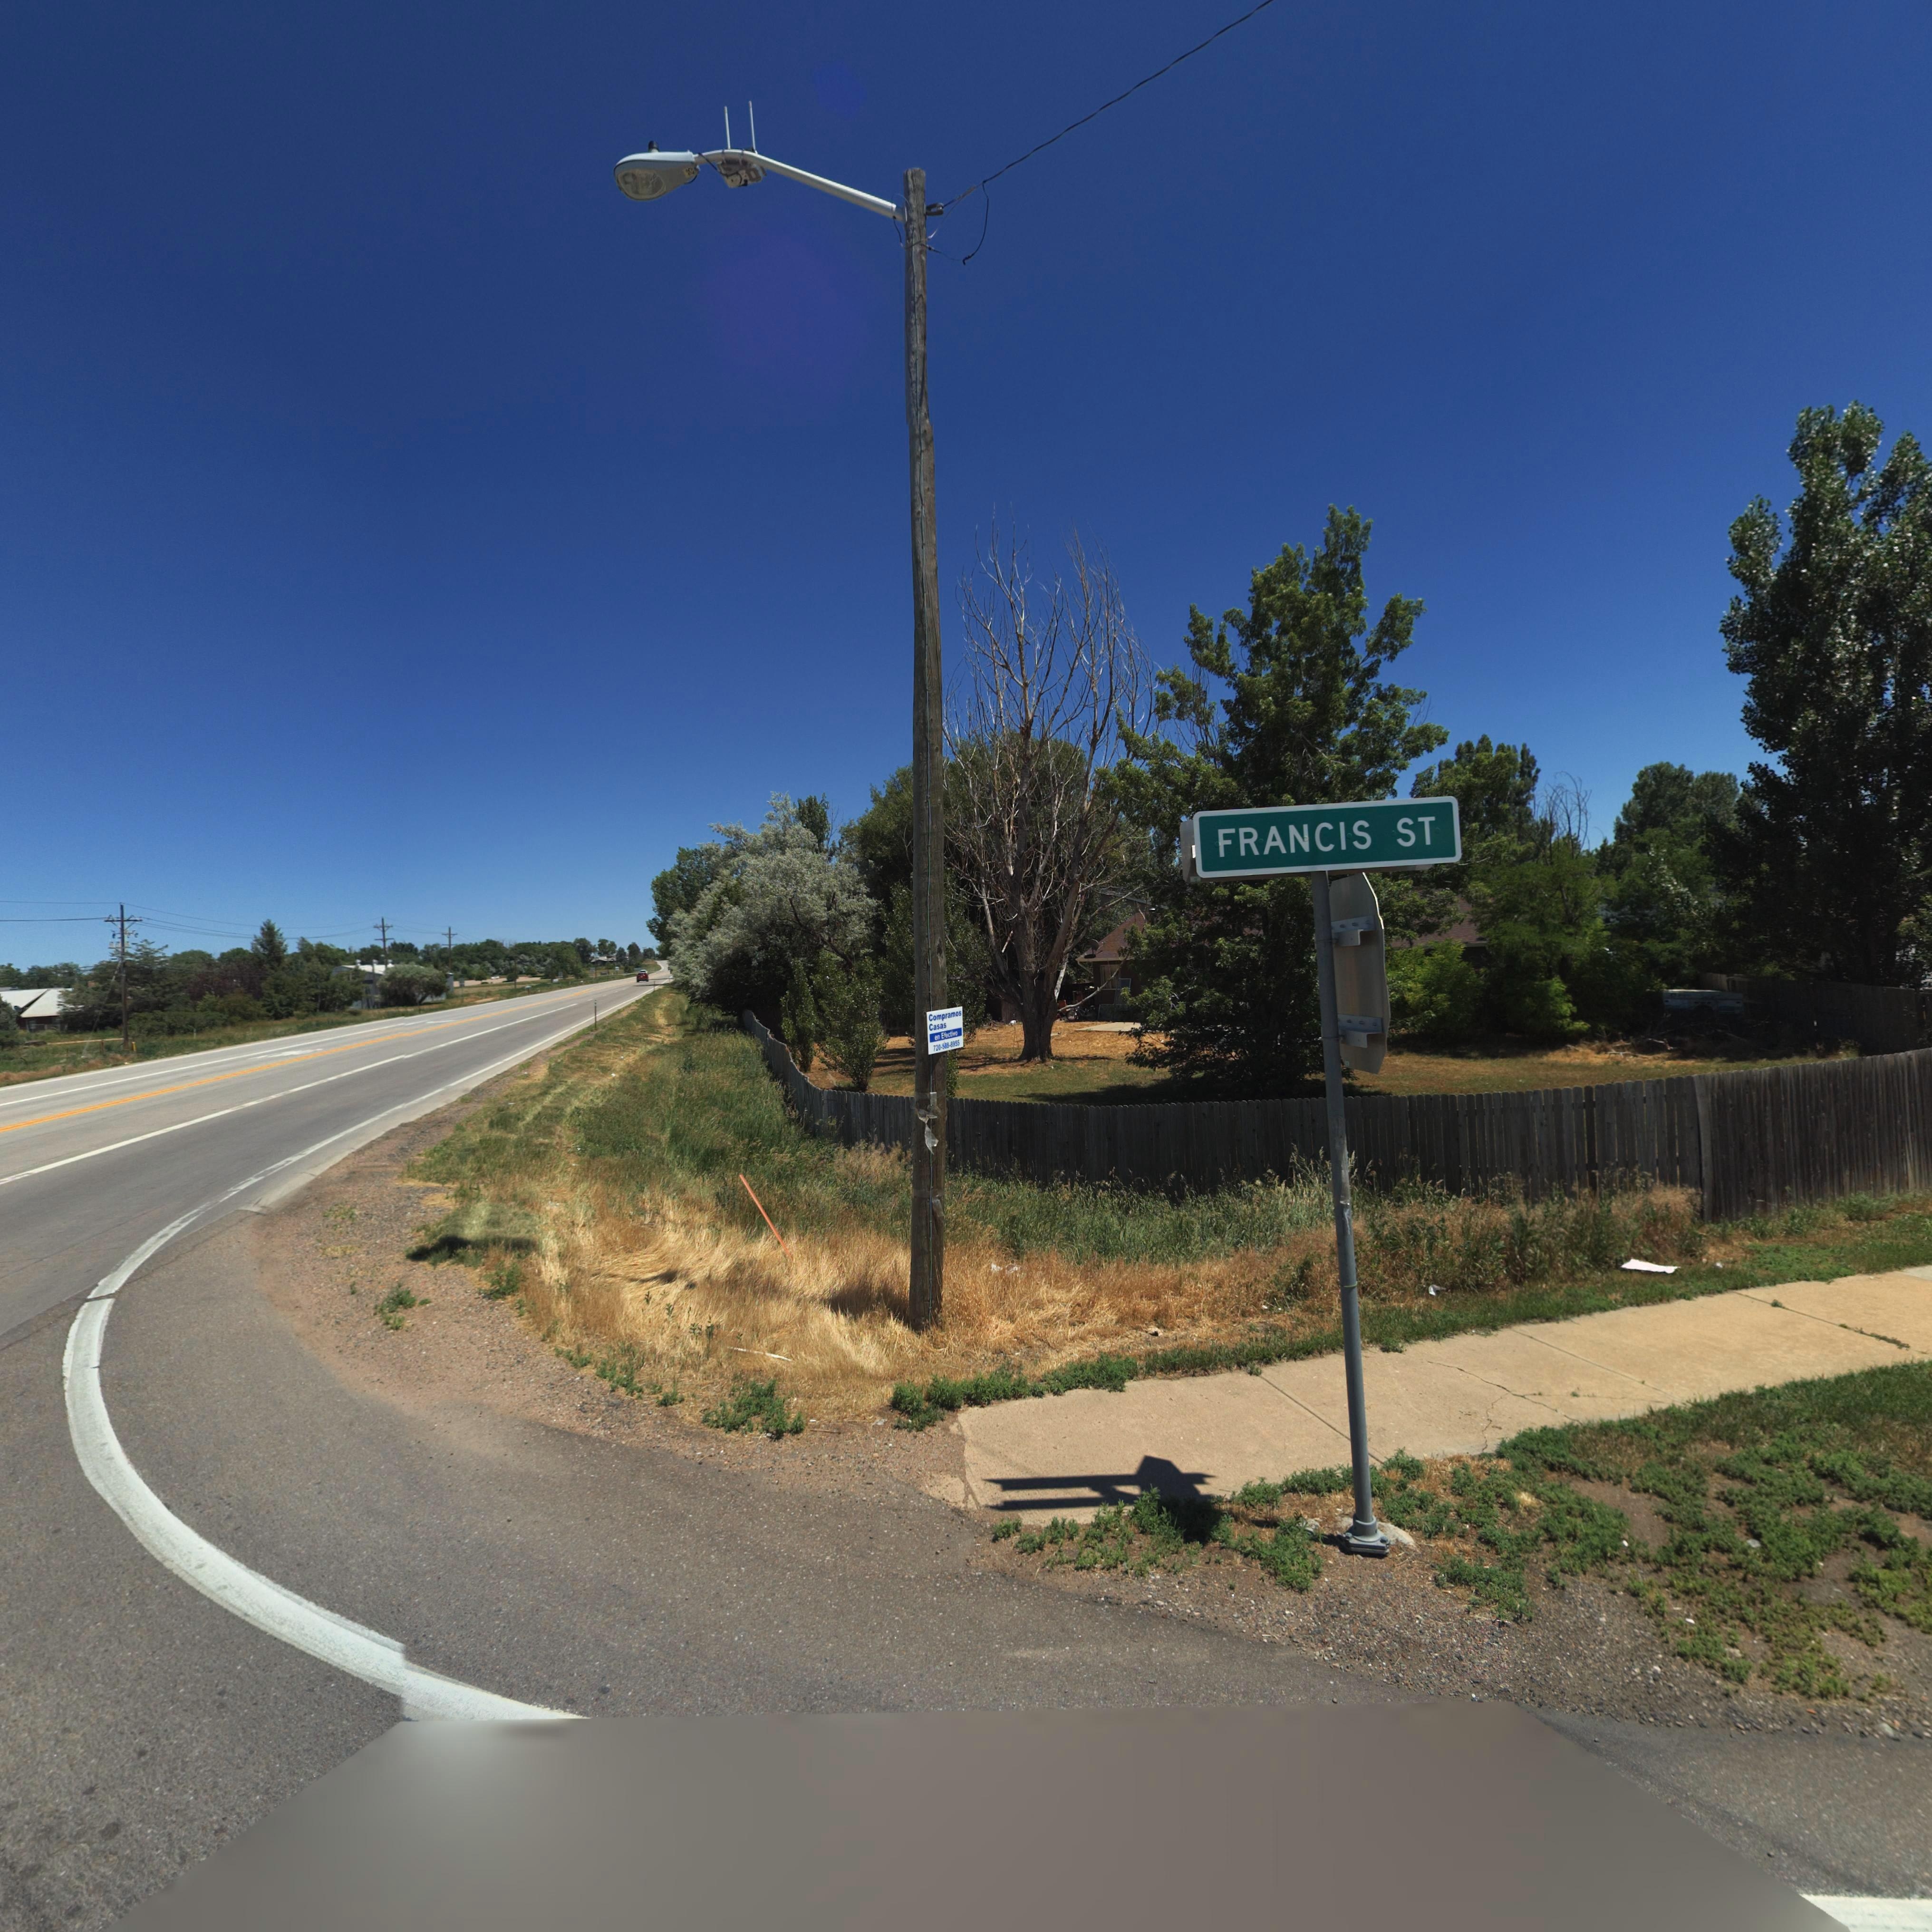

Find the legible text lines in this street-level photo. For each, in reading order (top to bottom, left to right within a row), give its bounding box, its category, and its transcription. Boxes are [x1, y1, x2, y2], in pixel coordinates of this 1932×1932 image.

[1217, 816, 1435, 858] StreetName: FRANCIS ST